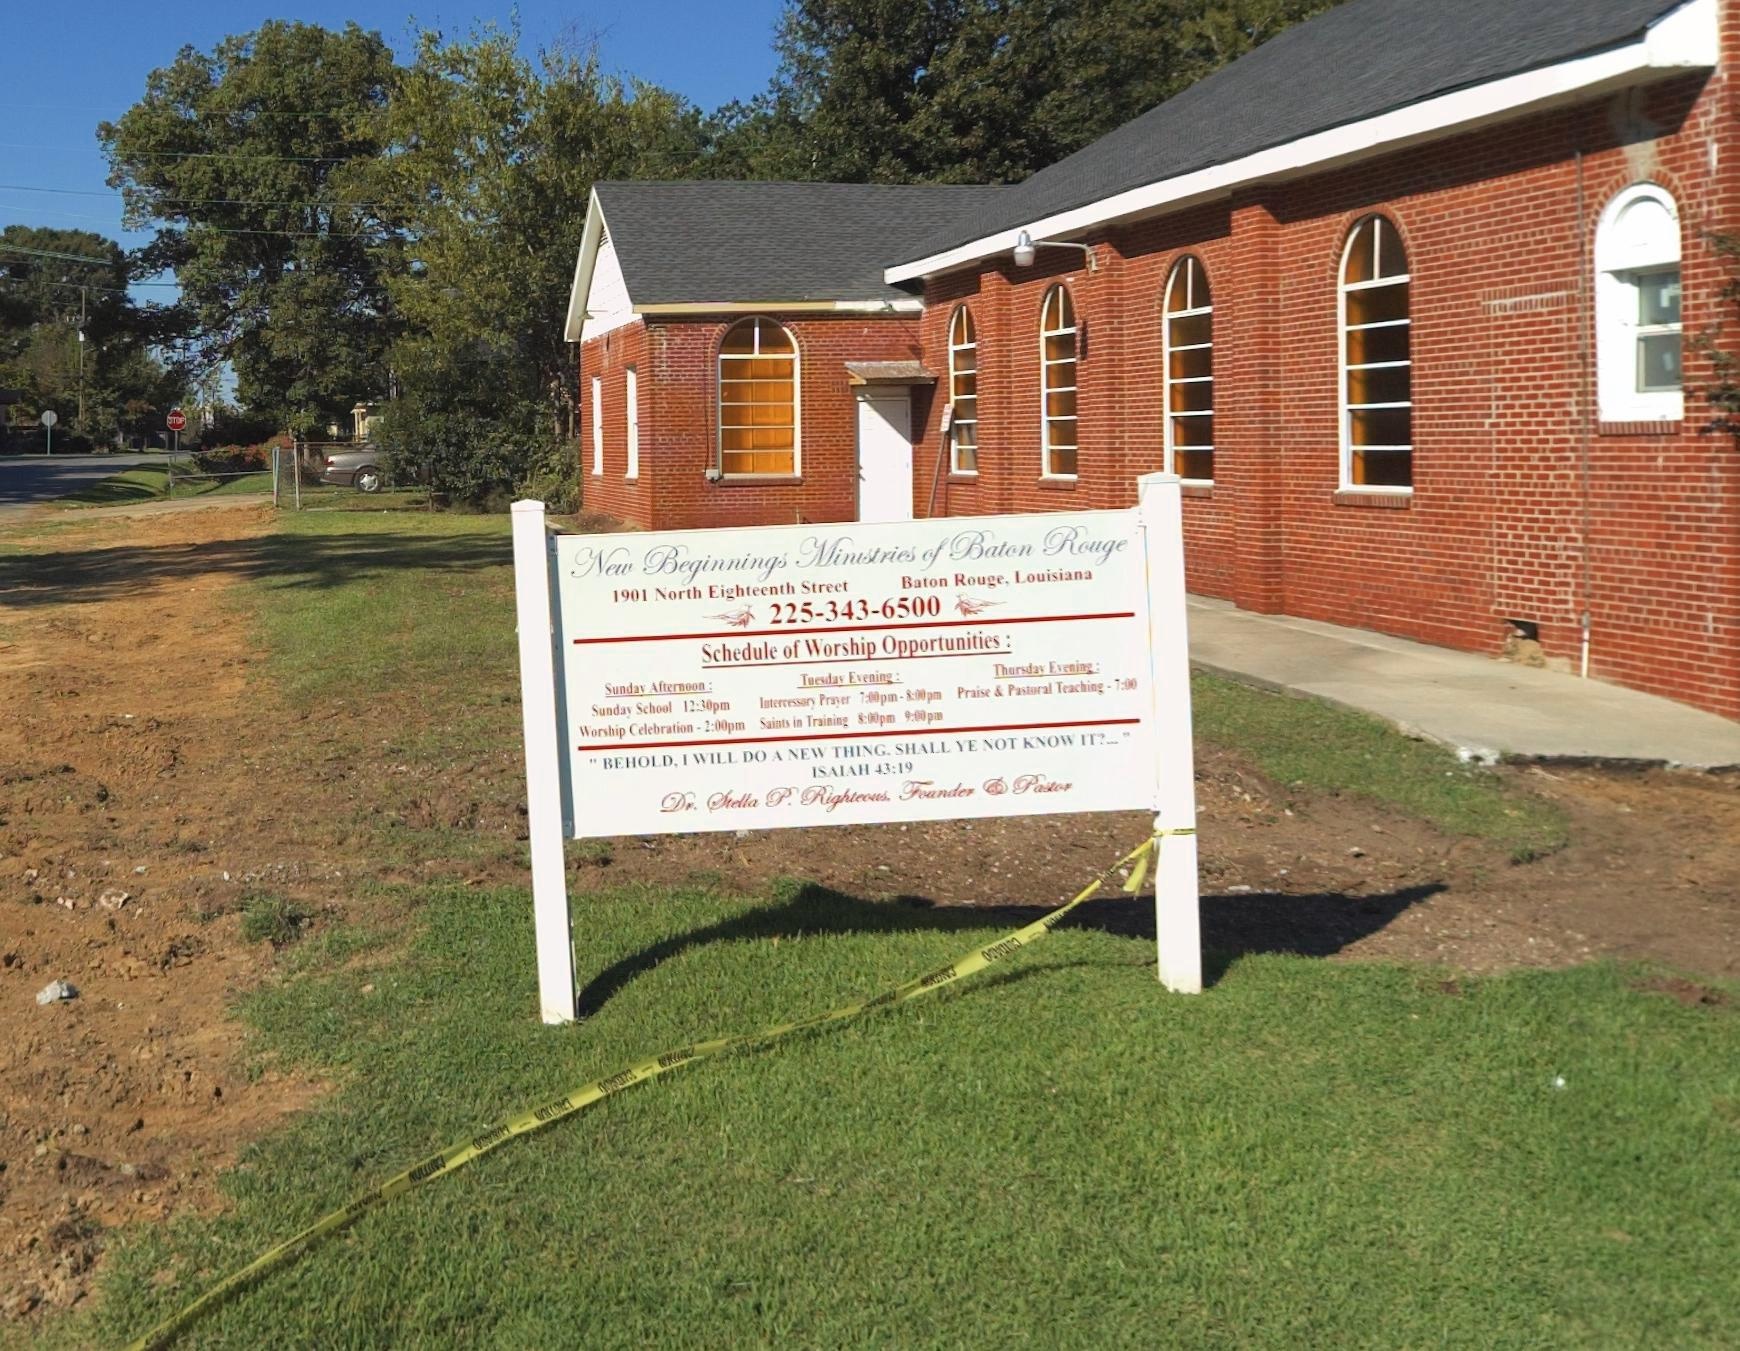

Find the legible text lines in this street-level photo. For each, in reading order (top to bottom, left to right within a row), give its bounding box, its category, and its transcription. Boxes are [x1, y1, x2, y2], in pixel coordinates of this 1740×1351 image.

[579, 523, 1131, 589] BusinessName: New Beginnings Ministries of Baton Rouge
[610, 586, 651, 606] StreetNumber: 1901
[652, 577, 851, 604] StreetName: North Eighteenth Street
[899, 565, 1096, 592] None: Baton Rouge, Louisiana
[767, 592, 944, 628] None: 225-343-6500
[699, 628, 1003, 666] None: Schedule of Worship Opportunities
[602, 678, 708, 699] None: Sunday Afternoon
[589, 697, 733, 721] None: Sunday School 12:30pm
[575, 715, 749, 743] None: Worship Celebration-2:00pm
[798, 667, 898, 690] None: Tuesday Evening
[757, 684, 944, 713] None: I*terce**ary Prayer 7:00pm-8:00pm
[757, 708, 946, 733] None: Saints in Training 8:00pm-9:00pm
[990, 657, 1096, 680] None: Thursday Evening
[955, 674, 1141, 704] None: Praise & Pastoral Teaching-7:00
[601, 729, 1107, 773] None: BEHOLD, I WILL DO A NEW THING, SHALL YE NOT KNOW IT?
[809, 758, 916, 782] None: ISAIAH 43:19
[661, 770, 1078, 816] None: Dr. **ella P. Right***es F*ander * P*****